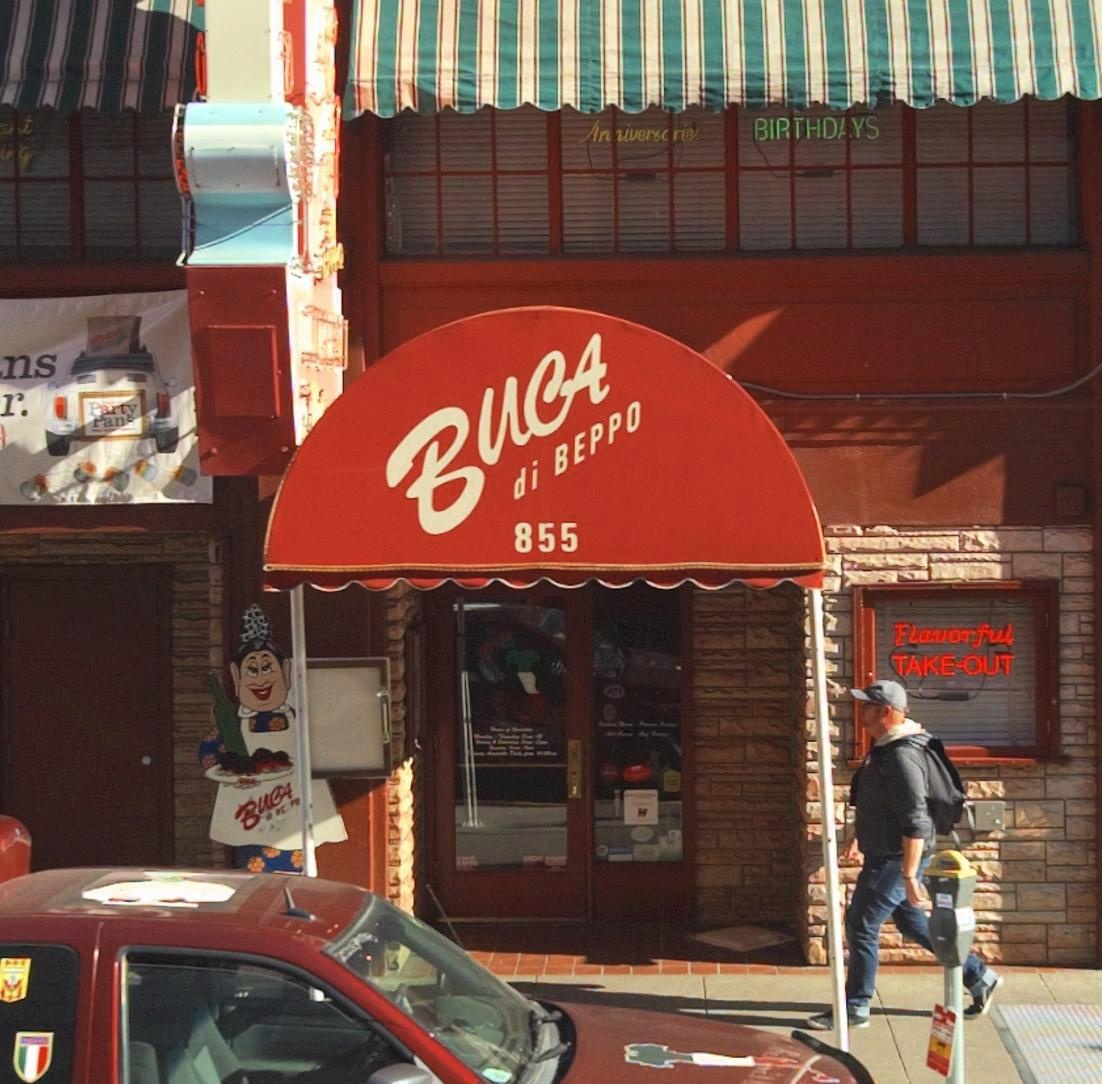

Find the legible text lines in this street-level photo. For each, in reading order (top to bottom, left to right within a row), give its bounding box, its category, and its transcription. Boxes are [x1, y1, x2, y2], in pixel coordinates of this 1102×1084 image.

[578, 117, 702, 146] None: An*ivers*ries
[753, 114, 881, 143] None: BIRTHD*YS
[0, 353, 59, 381] None: ns
[0, 392, 25, 418] None: r
[87, 401, 138, 417] None: Party
[90, 415, 137, 427] None: Pans
[382, 331, 612, 538] BusinessName: BUCA
[511, 399, 643, 503] BusinessName: di BEPPO
[513, 521, 579, 555] StreetNumber: 855
[892, 621, 1017, 649] None: Flavorful
[889, 652, 1017, 677] None: TAKE-OUT
[233, 781, 295, 833] BusinessName: BUCA